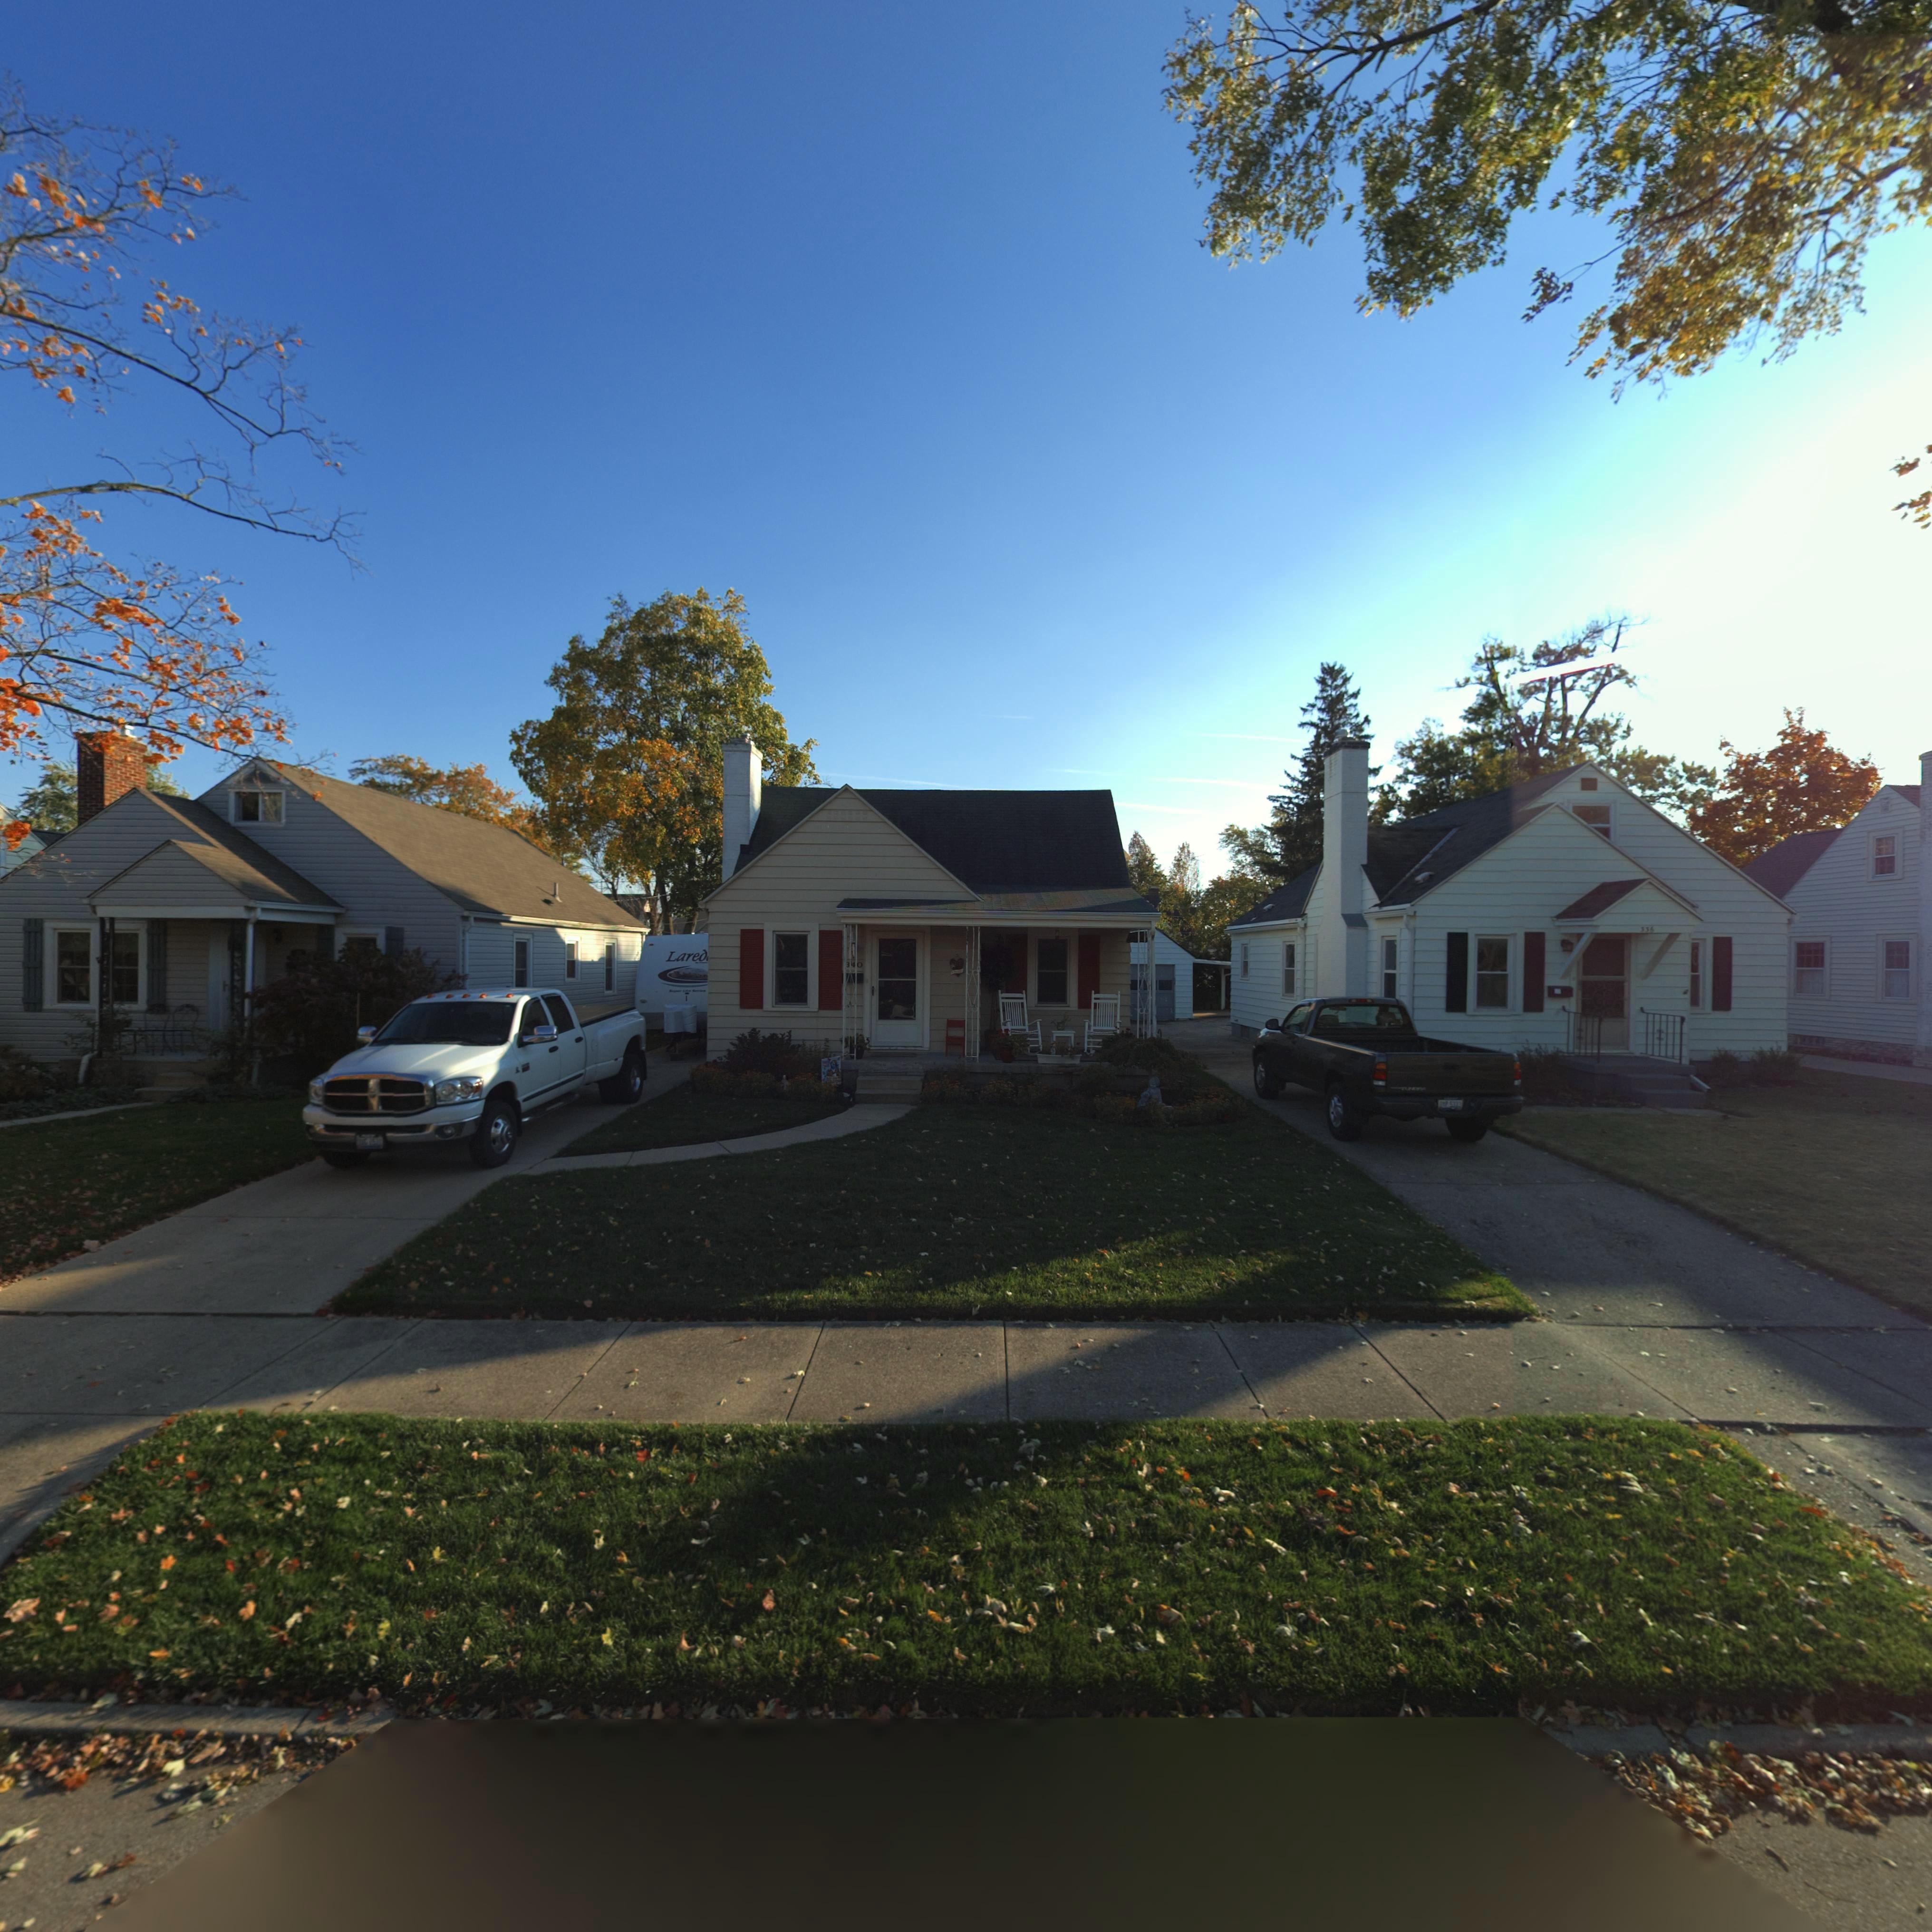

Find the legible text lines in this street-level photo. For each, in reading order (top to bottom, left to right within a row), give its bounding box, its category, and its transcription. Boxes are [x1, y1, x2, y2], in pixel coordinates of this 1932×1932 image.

[1640, 926, 1655, 933] StreetNumber: 336
[845, 961, 864, 969] StreetNumber: 340